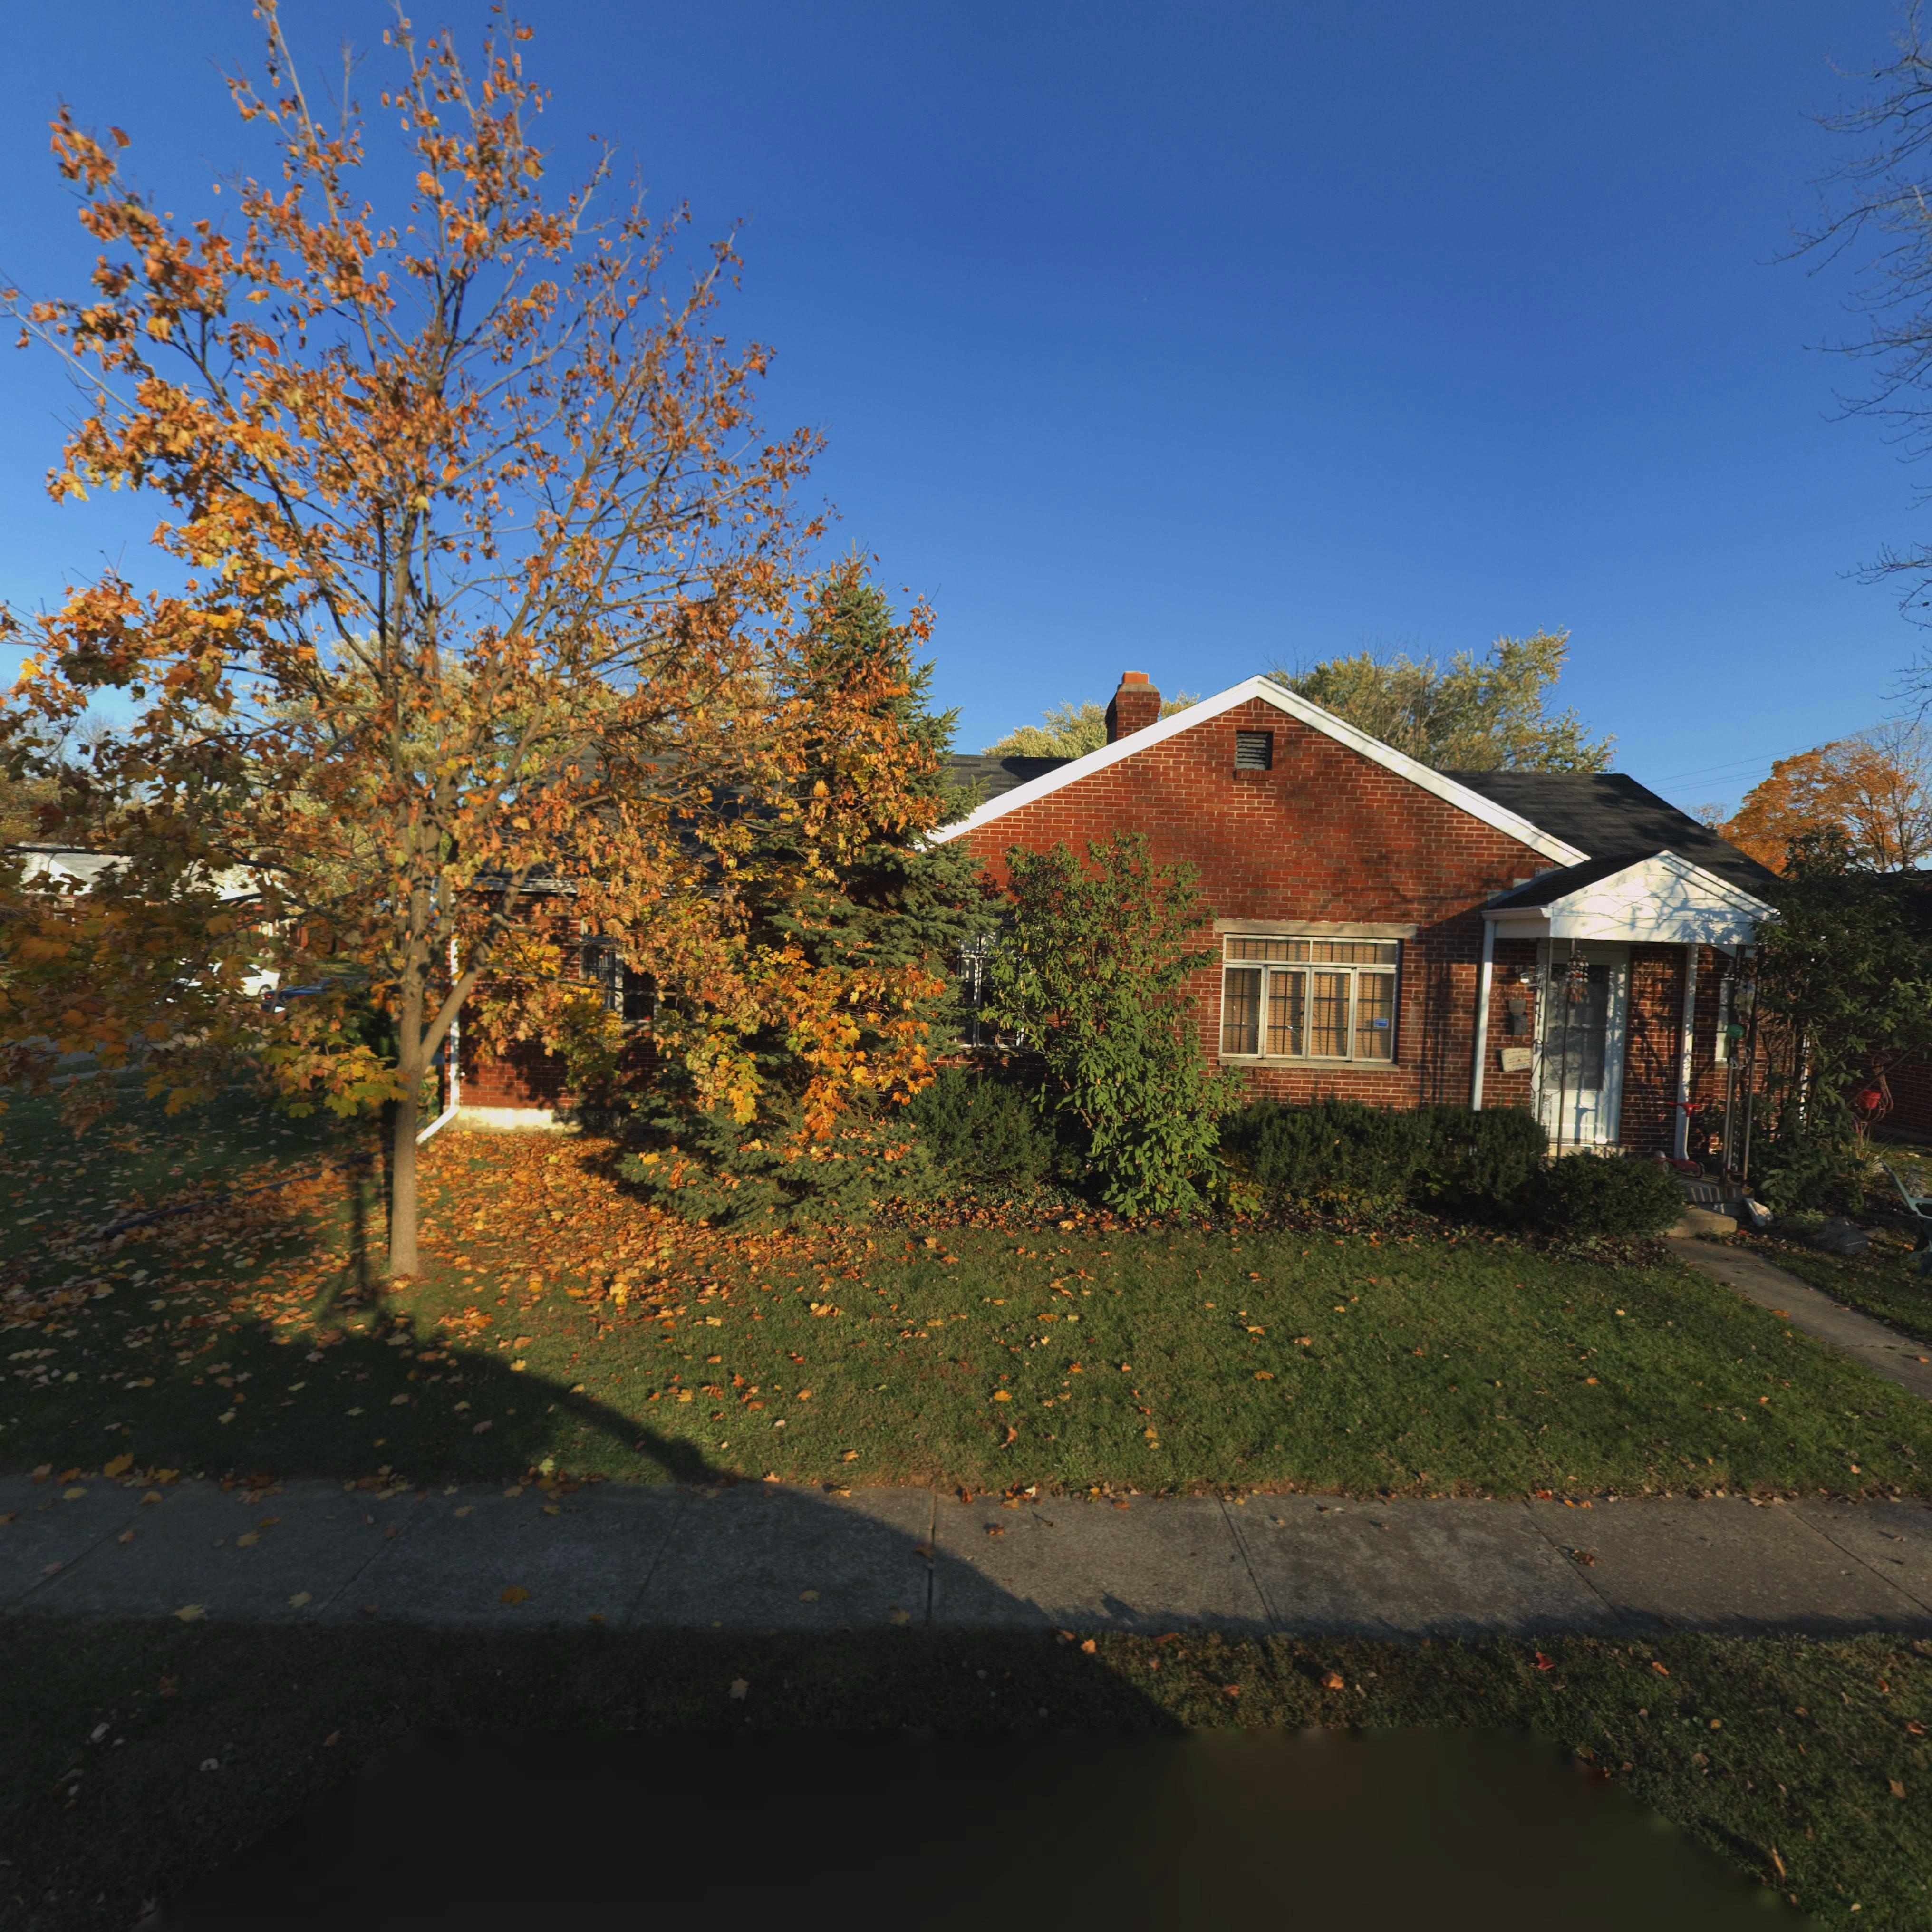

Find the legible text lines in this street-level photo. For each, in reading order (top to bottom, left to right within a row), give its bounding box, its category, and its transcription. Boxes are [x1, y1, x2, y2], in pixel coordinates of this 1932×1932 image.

[1500, 990, 1526, 1002] StreetNumber: ***0